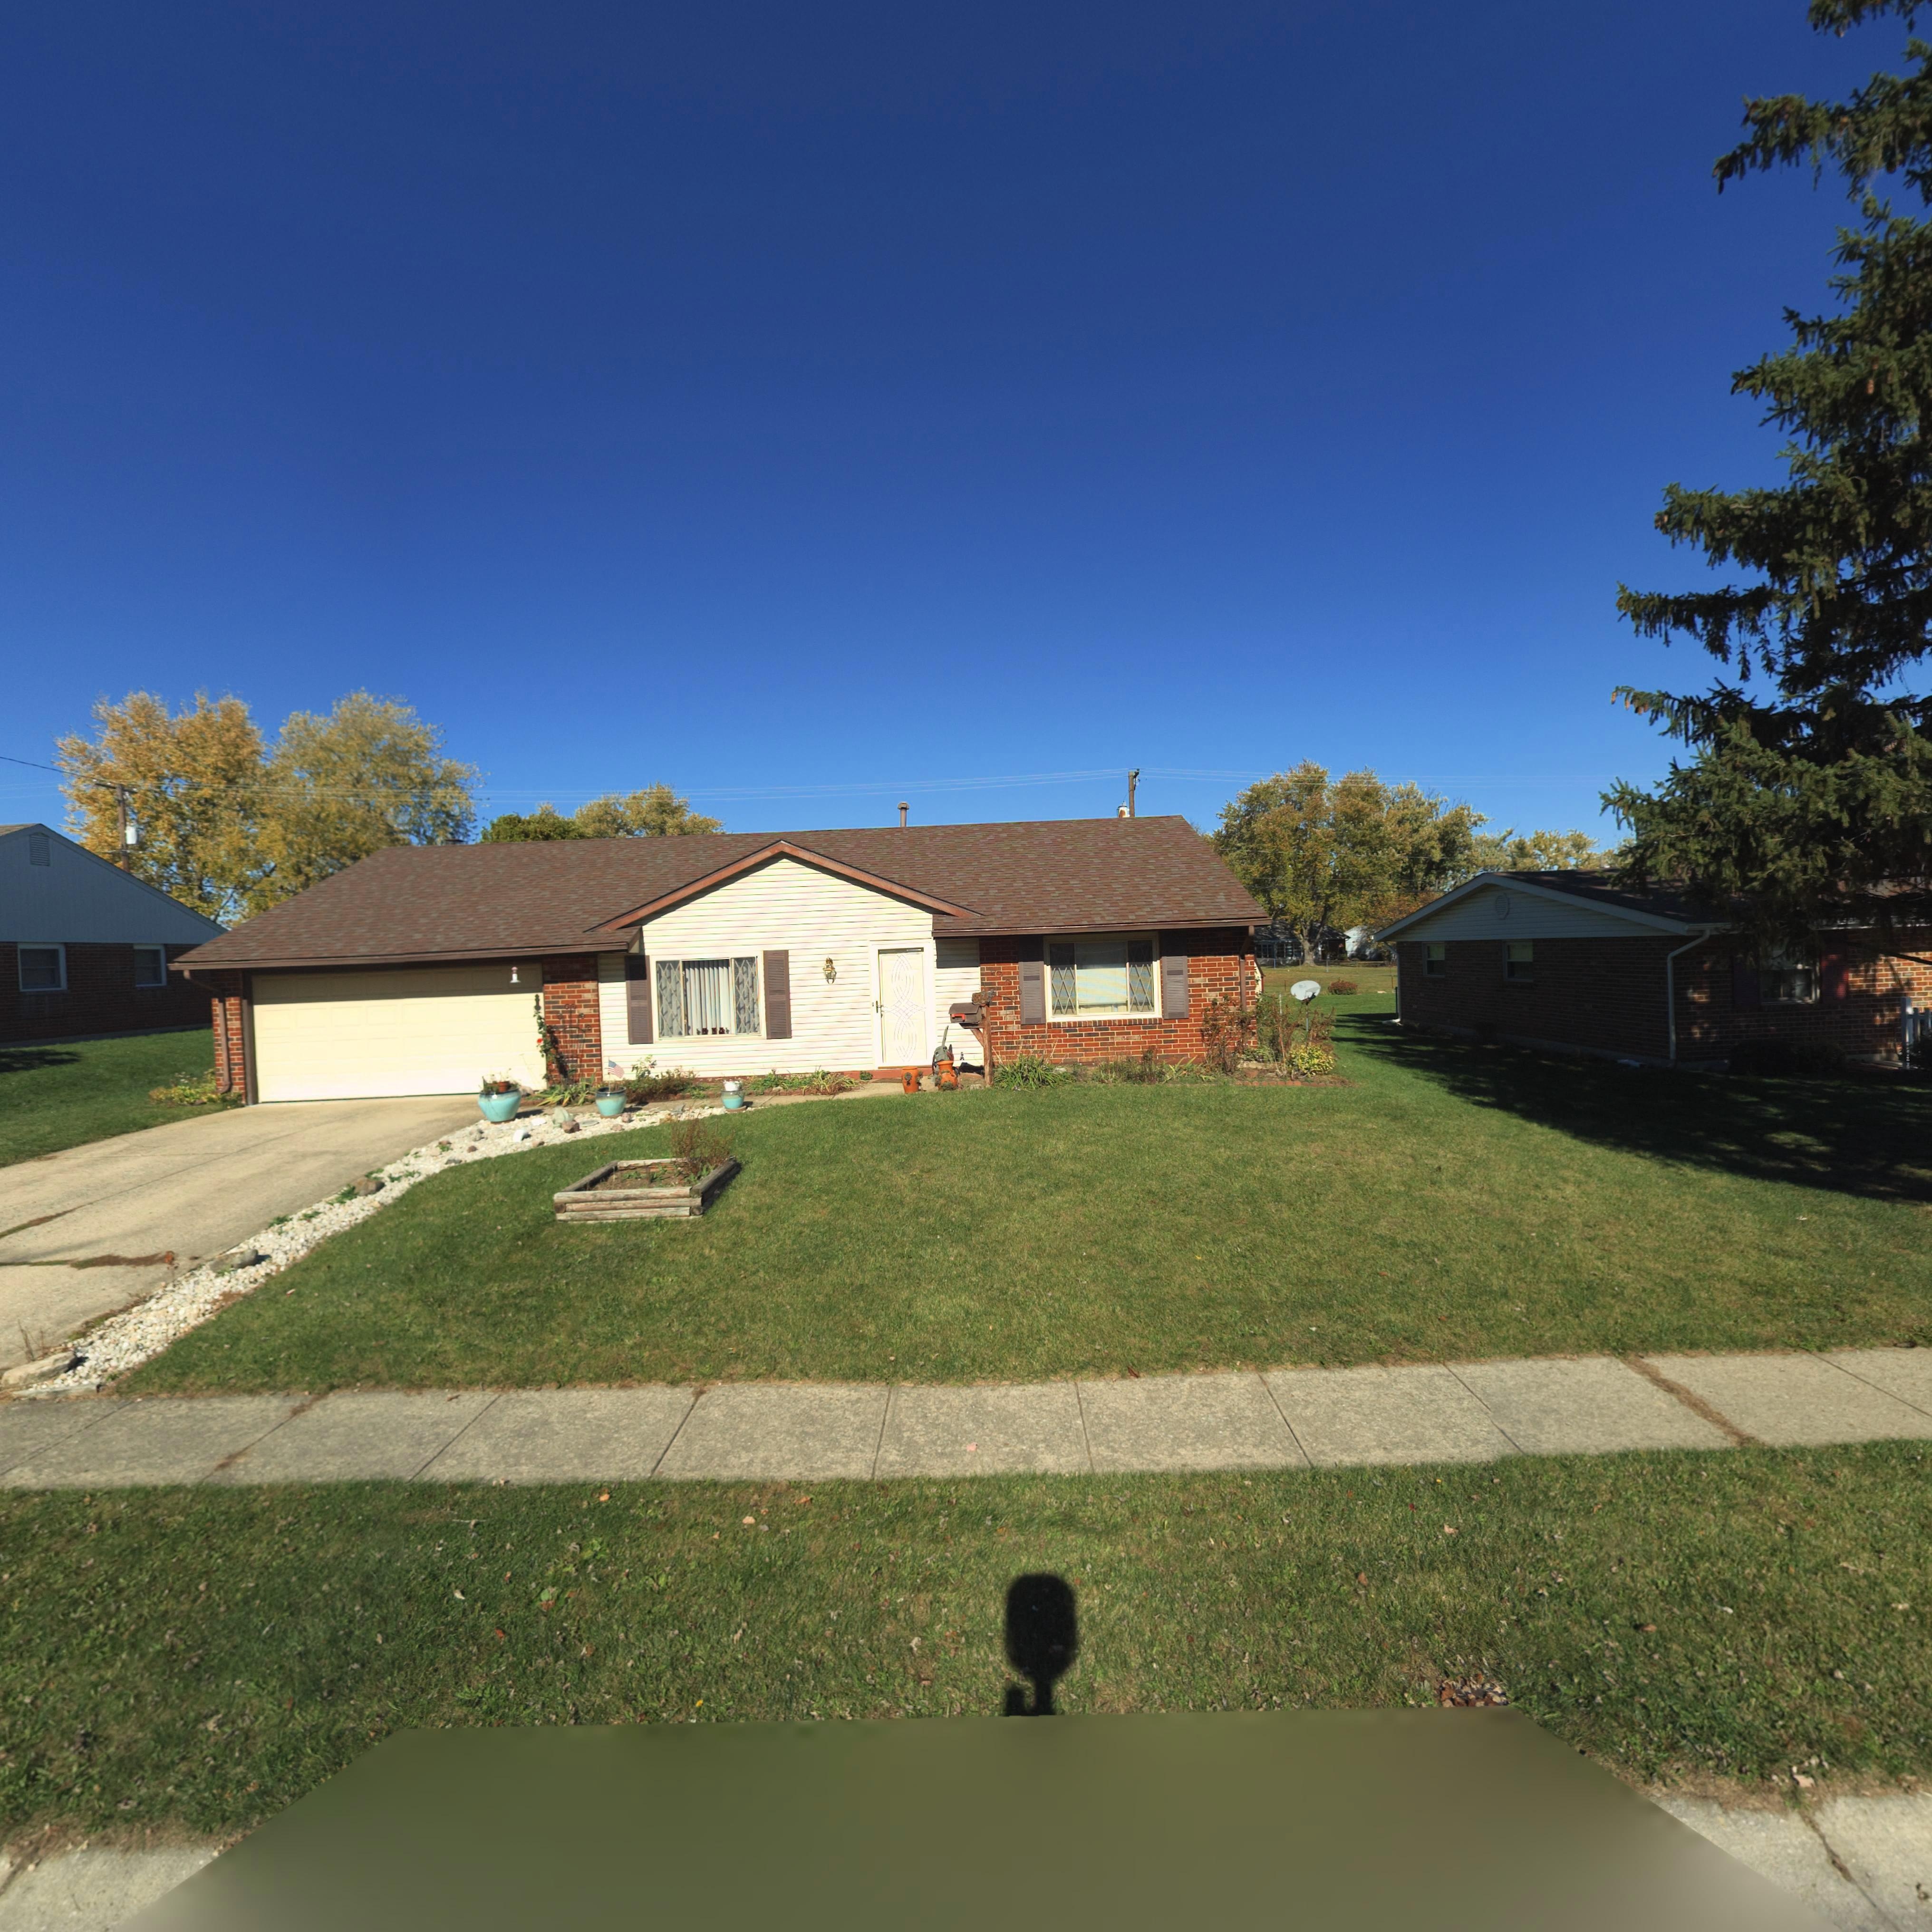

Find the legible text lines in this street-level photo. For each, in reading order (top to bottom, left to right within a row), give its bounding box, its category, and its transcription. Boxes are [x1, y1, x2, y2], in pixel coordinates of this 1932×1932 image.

[972, 992, 989, 1004] StreetNumber: 814